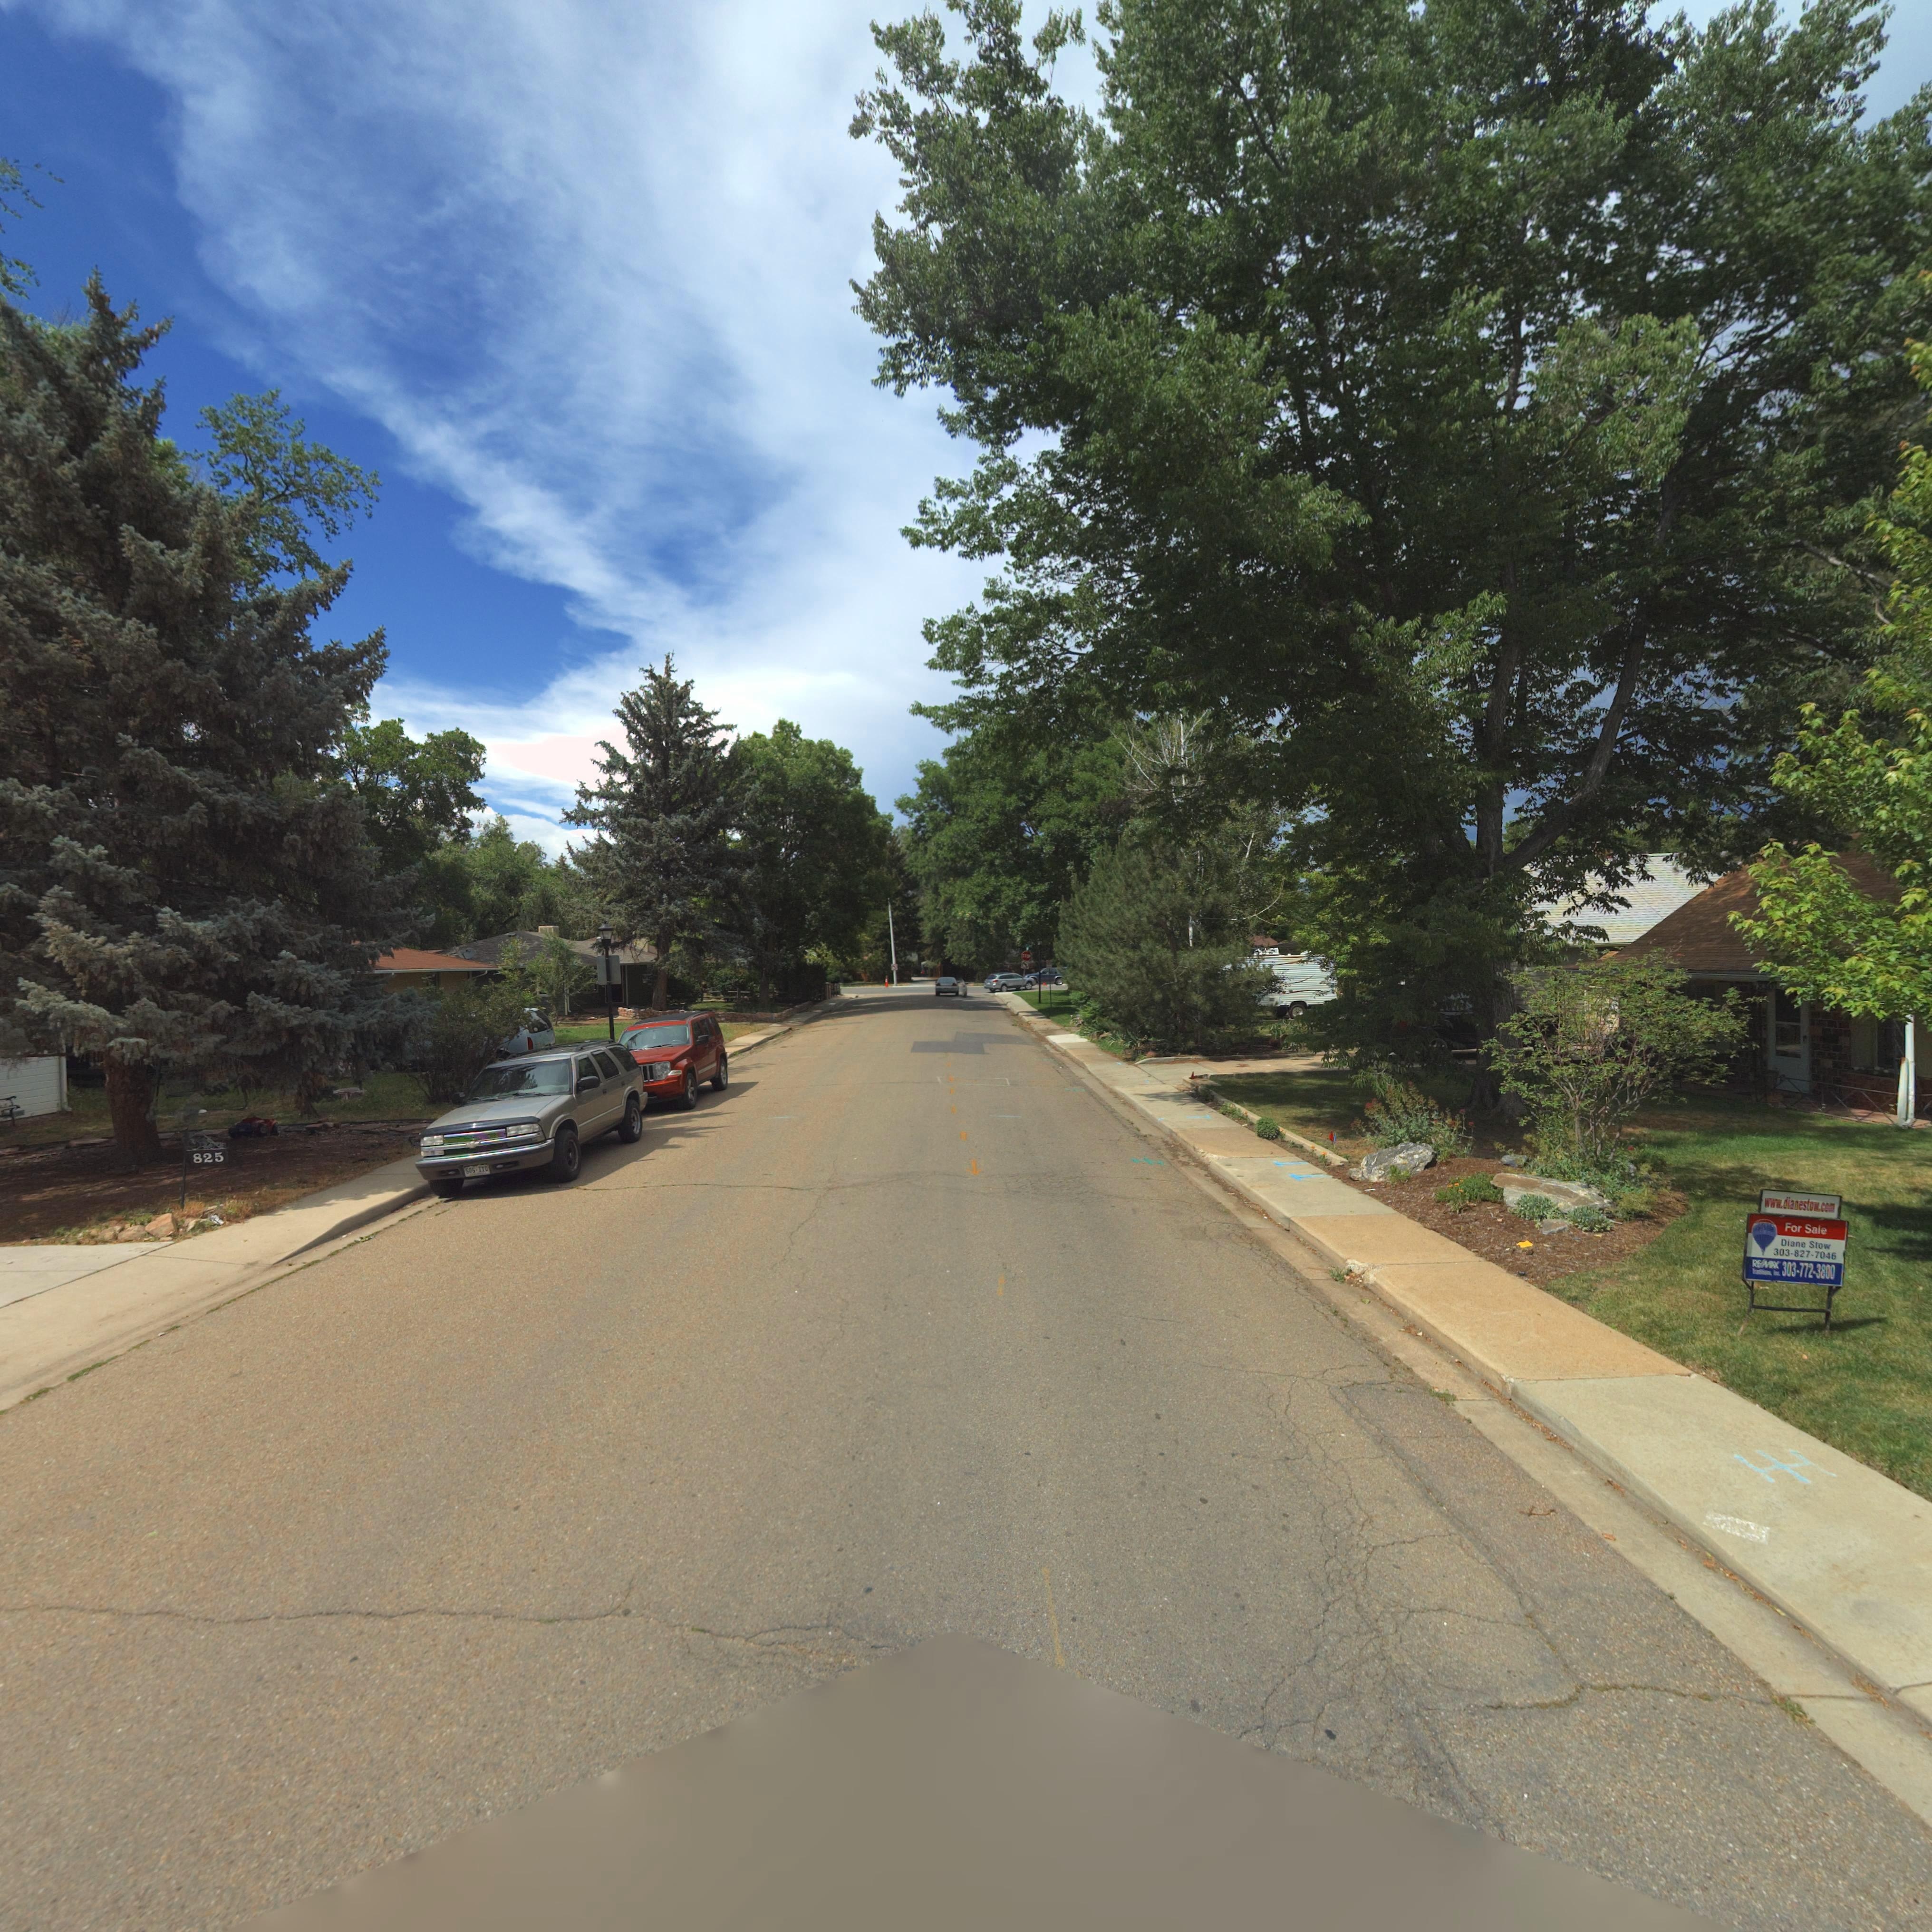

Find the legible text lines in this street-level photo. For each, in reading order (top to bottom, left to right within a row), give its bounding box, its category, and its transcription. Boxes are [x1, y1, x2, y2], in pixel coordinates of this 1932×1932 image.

[192, 1151, 225, 1163] StreetNumber: 825